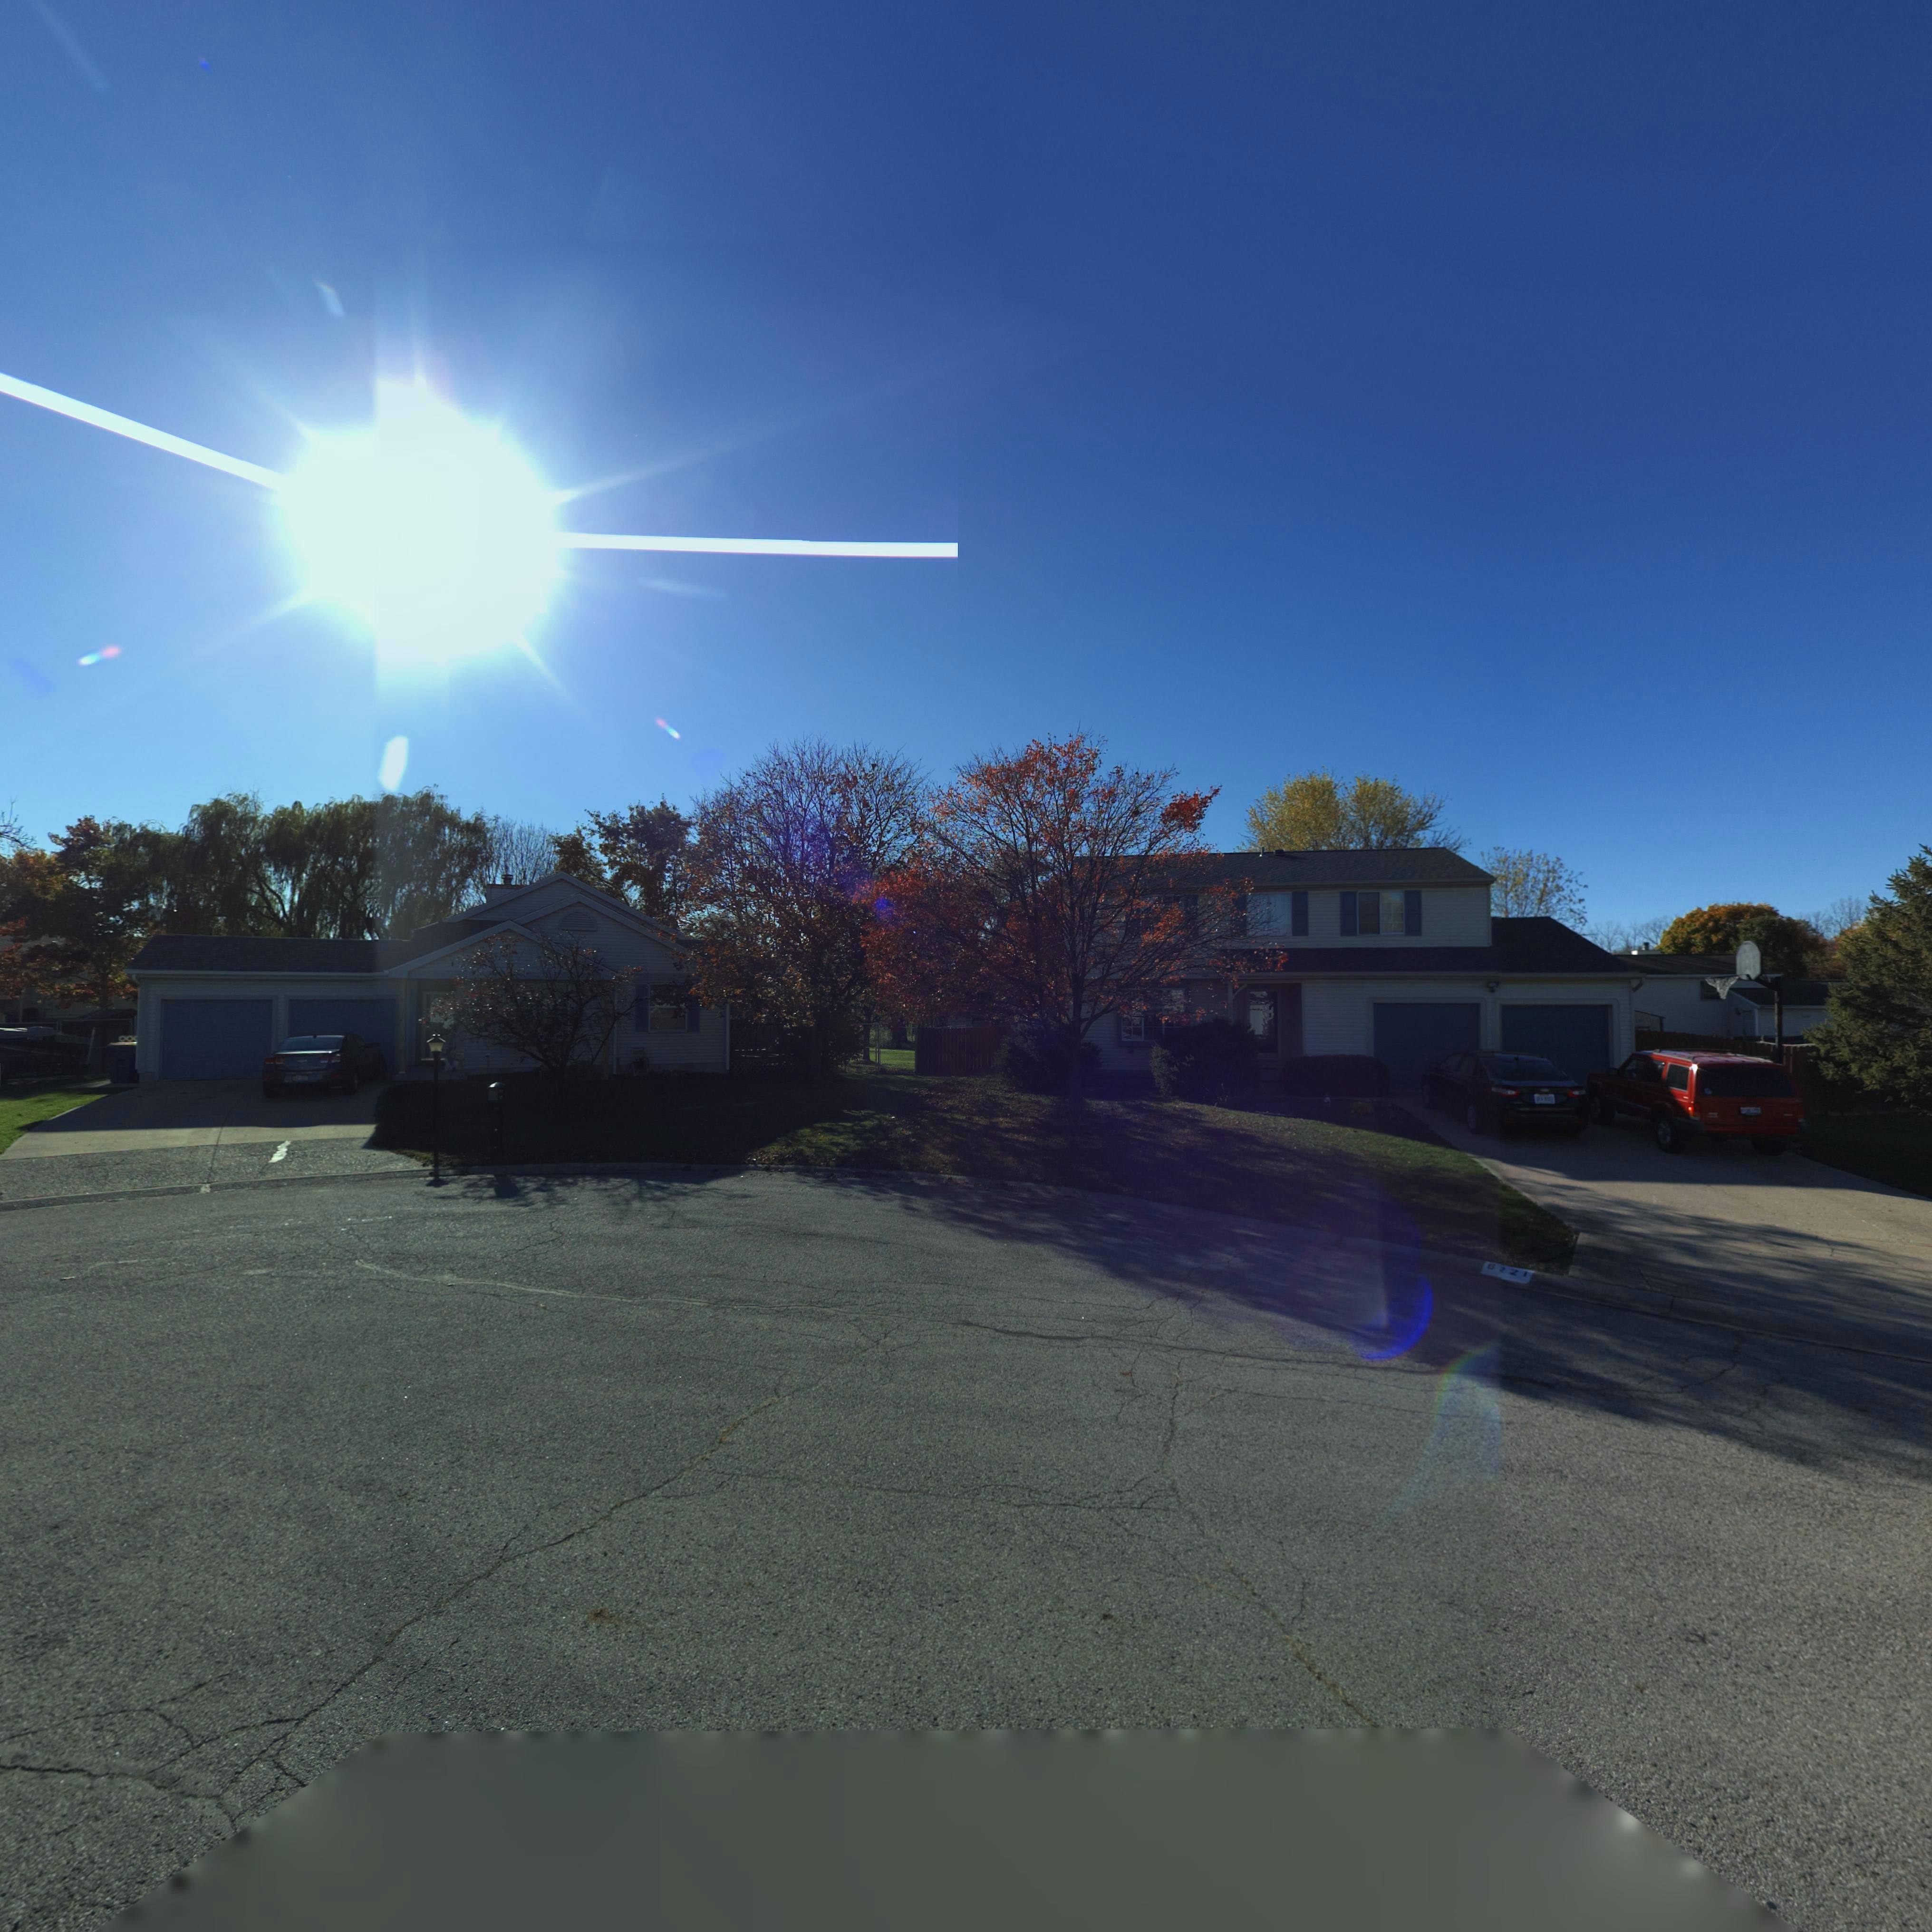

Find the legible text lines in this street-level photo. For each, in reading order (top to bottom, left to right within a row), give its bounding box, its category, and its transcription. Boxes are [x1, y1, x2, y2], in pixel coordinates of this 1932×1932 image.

[1485, 1261, 1530, 1279] StreetNumber: 6*2*